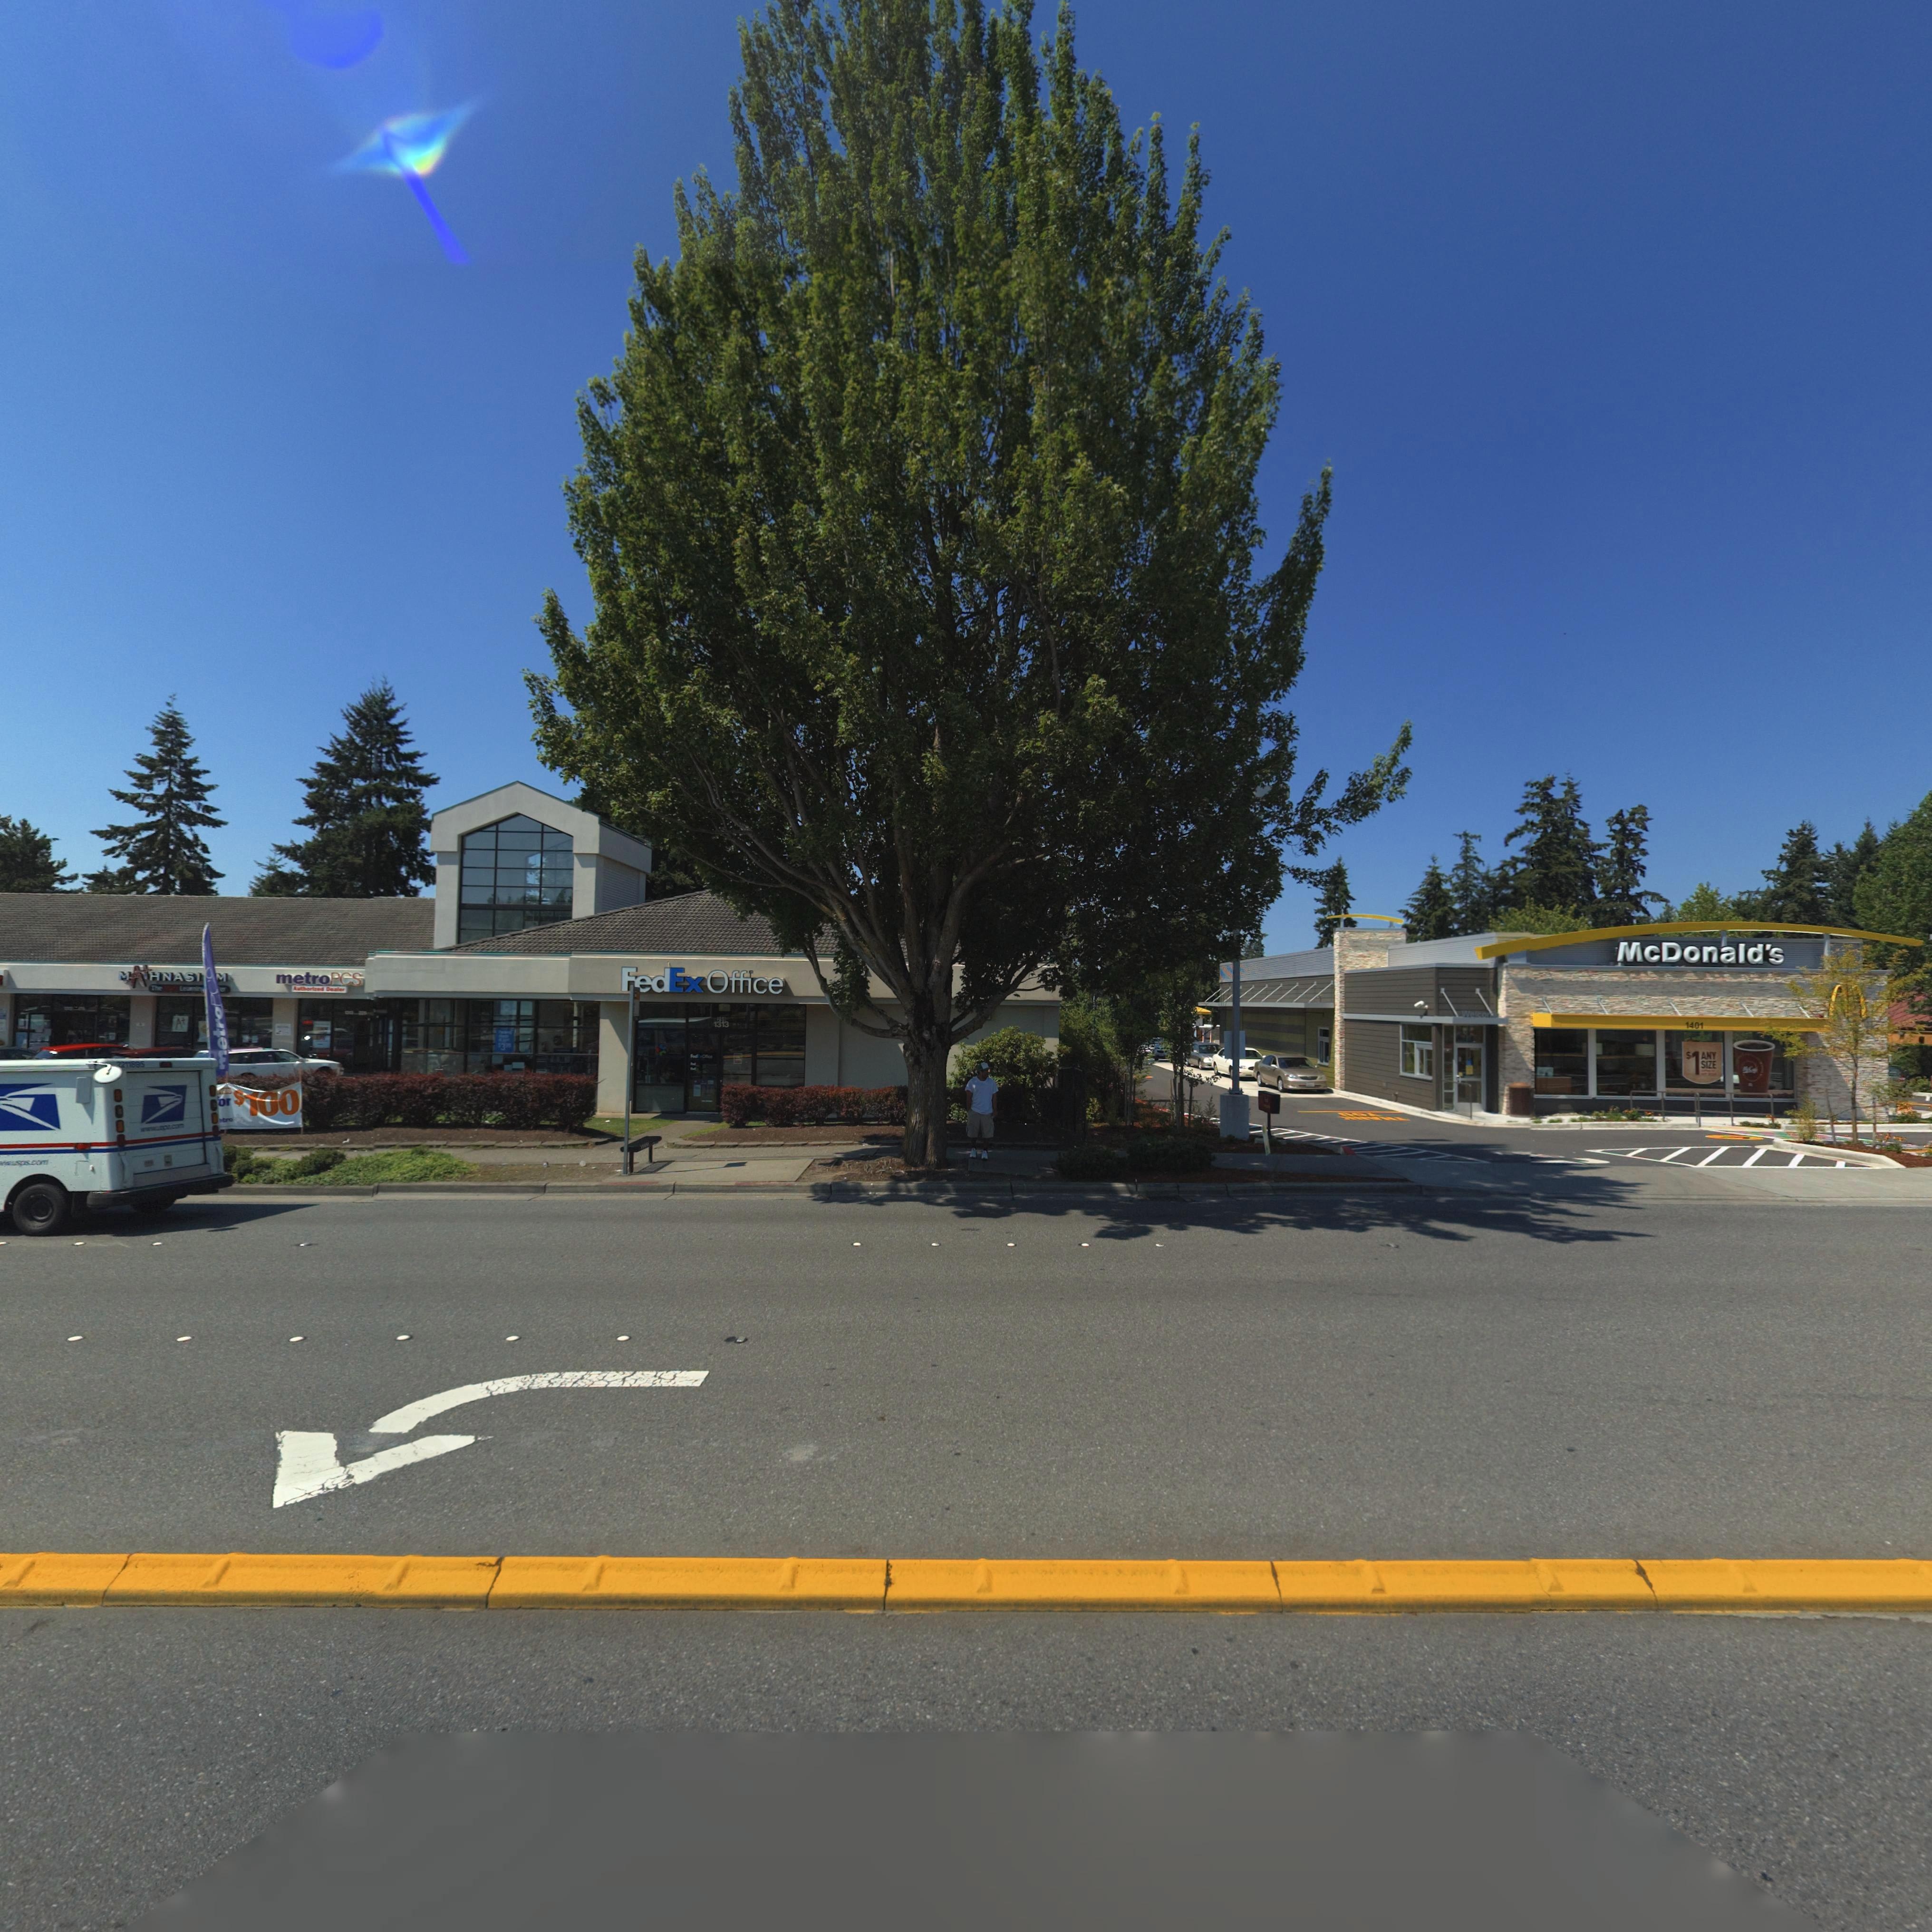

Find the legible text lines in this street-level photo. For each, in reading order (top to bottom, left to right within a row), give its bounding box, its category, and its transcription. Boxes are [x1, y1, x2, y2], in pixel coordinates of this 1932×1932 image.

[274, 970, 365, 988] BusinessName: metroPCS
[712, 1021, 730, 1029] StreetNumber: 1303
[1685, 1019, 1704, 1031] StreetNumber: 1401
[687, 1048, 717, 1063] BusinessName: FedEx Office